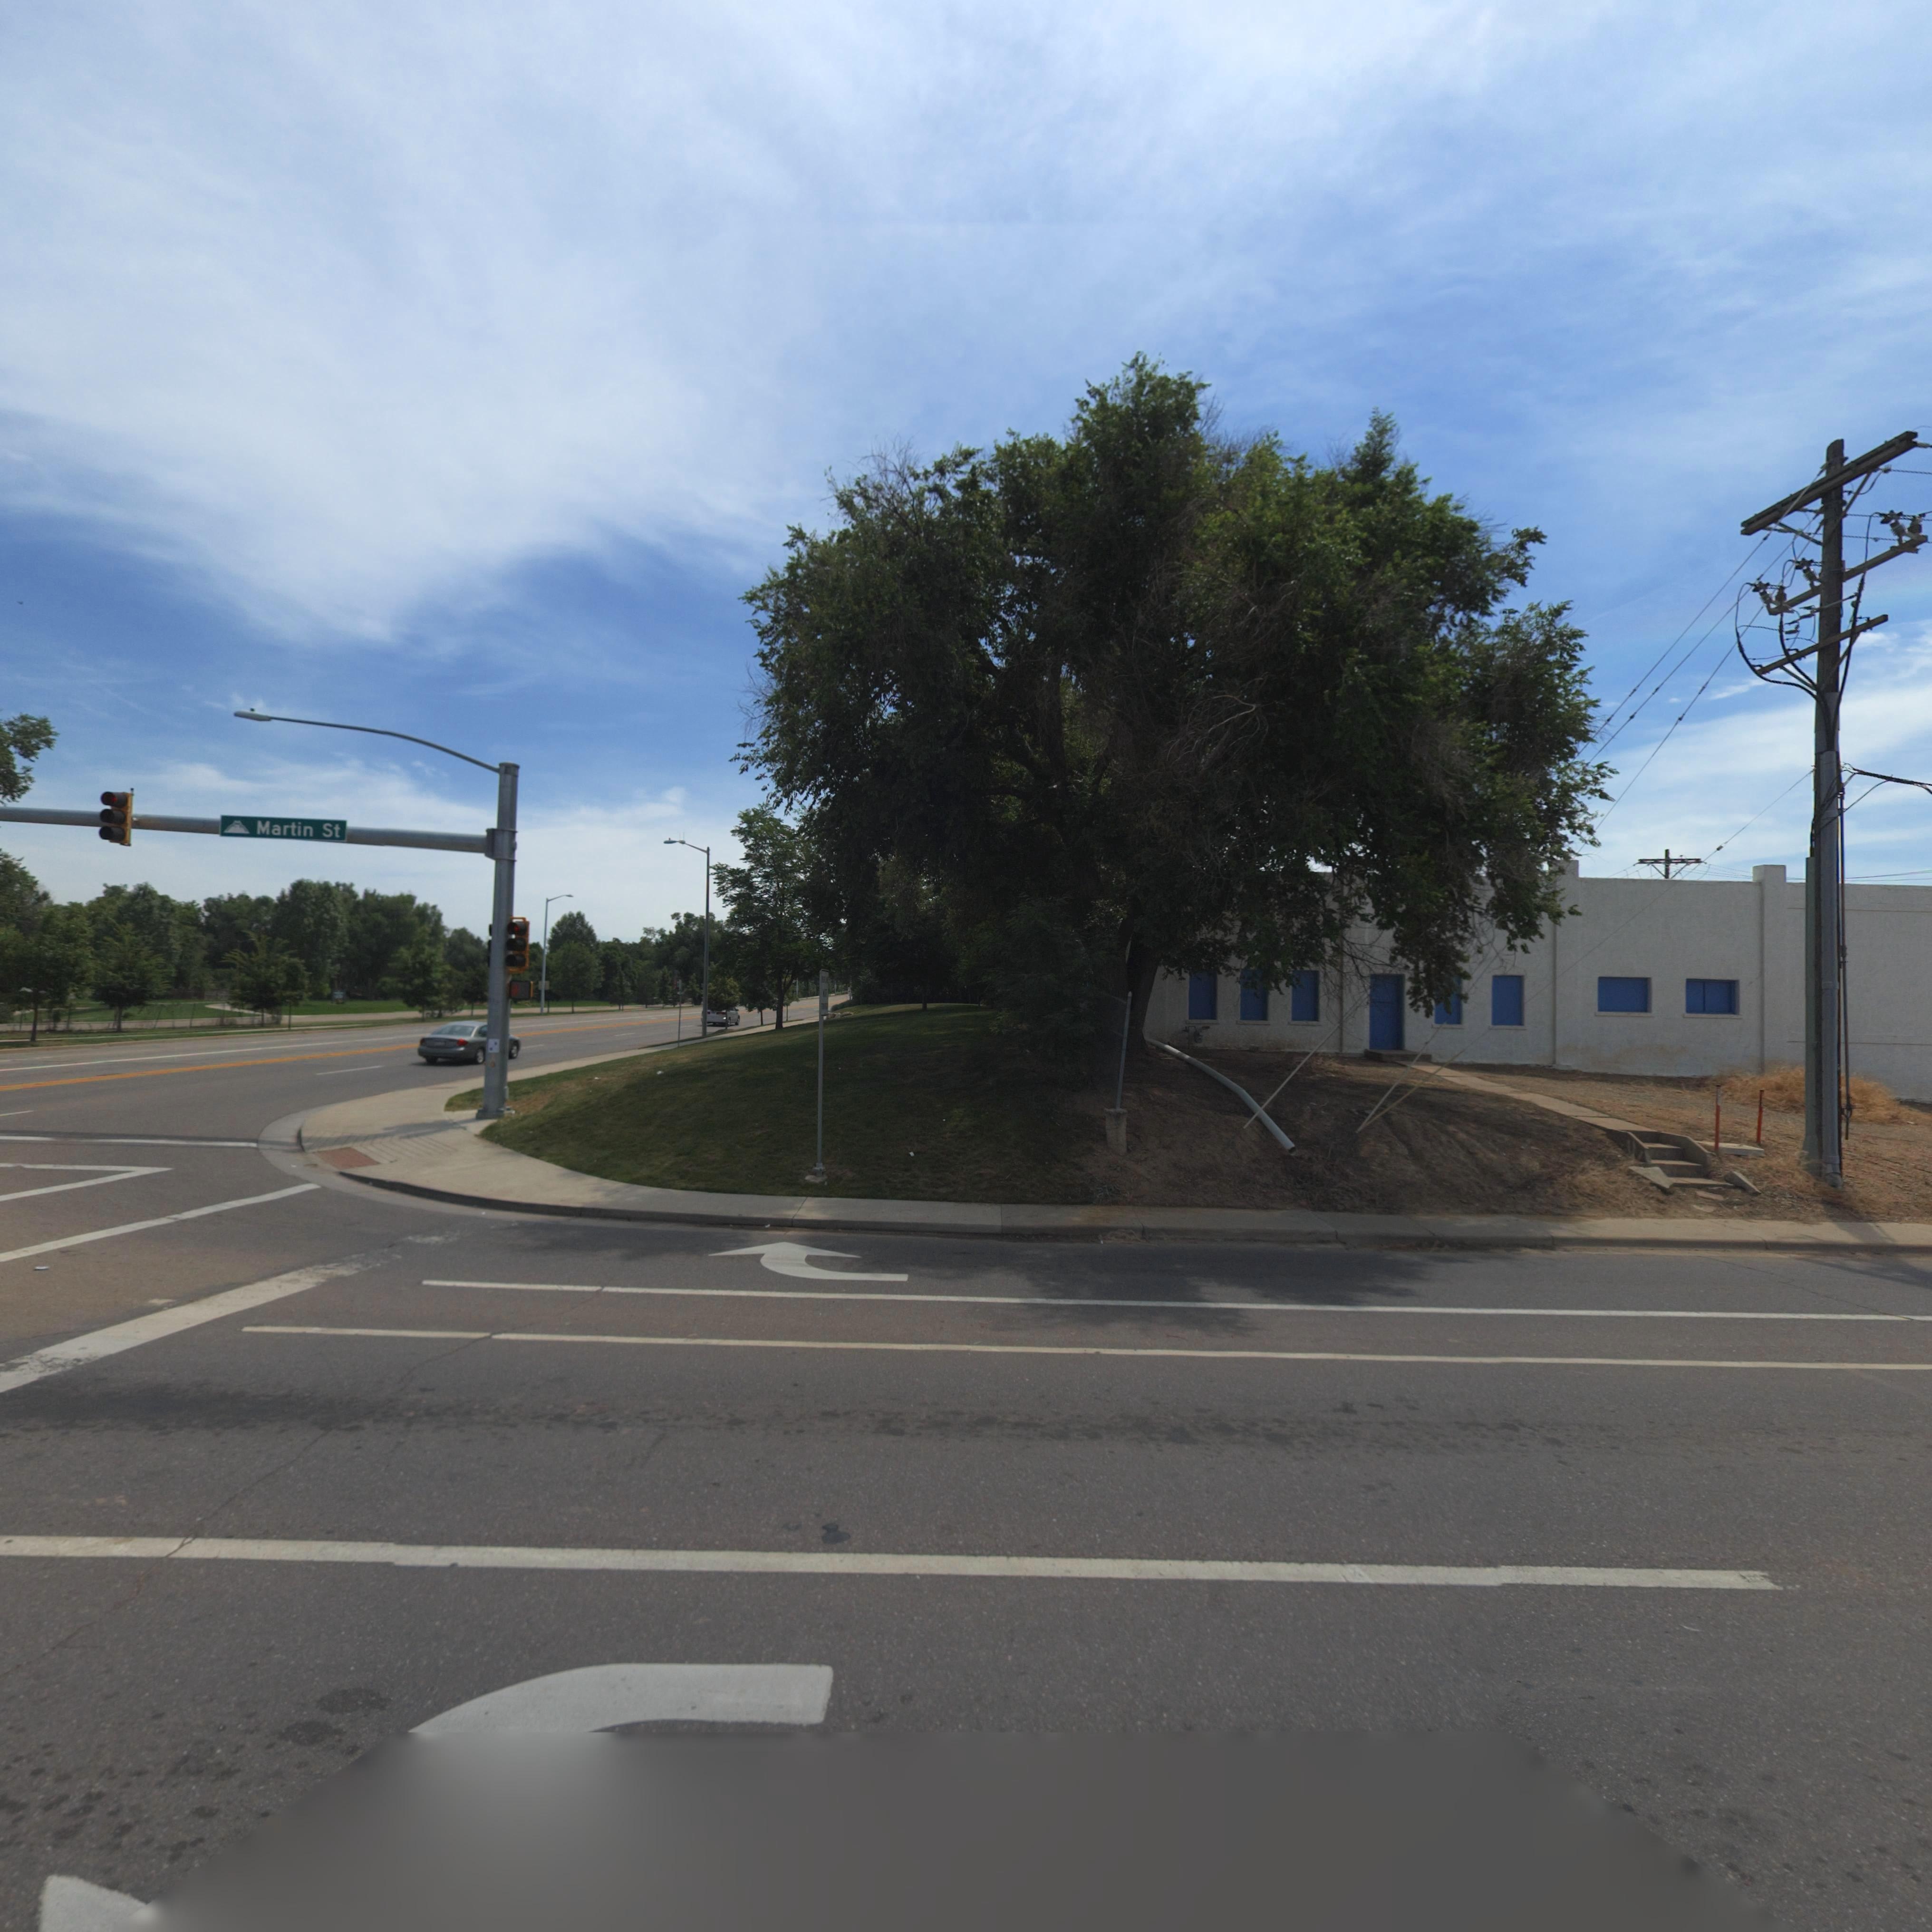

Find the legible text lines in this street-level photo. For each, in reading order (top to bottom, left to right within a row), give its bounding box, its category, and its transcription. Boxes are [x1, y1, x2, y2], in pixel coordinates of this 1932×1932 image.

[257, 821, 339, 837] StreetName: Martin St